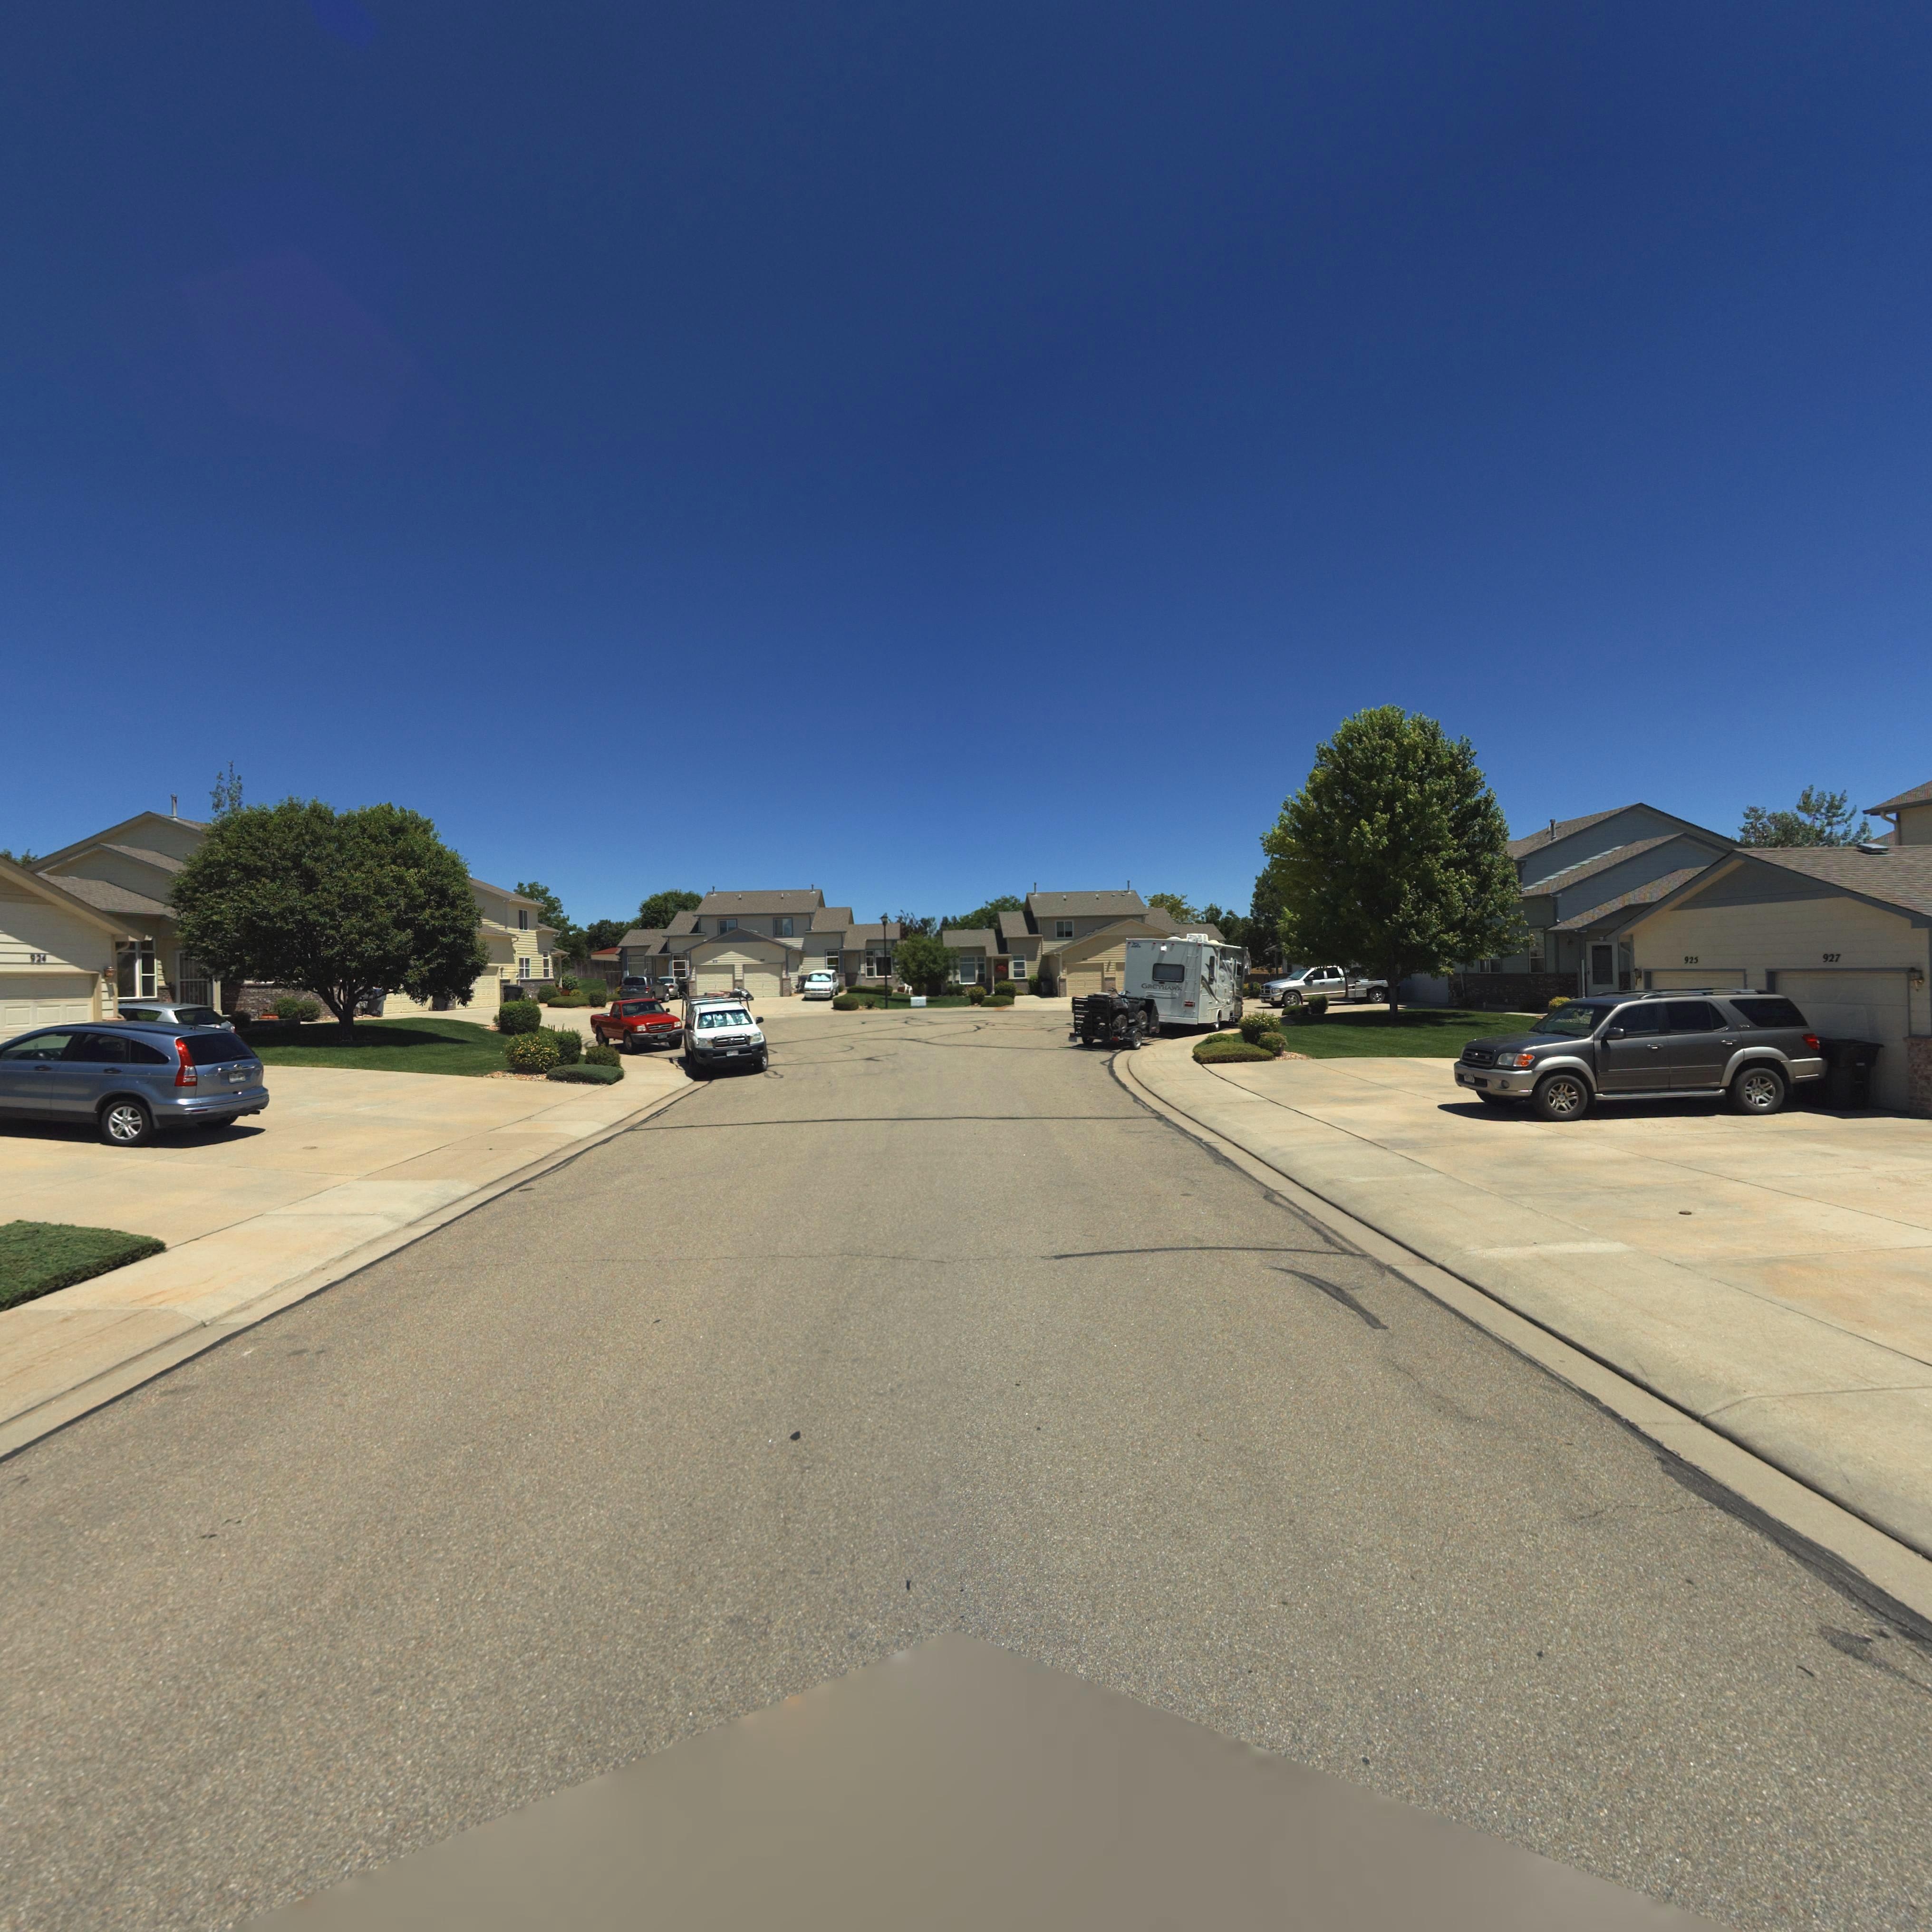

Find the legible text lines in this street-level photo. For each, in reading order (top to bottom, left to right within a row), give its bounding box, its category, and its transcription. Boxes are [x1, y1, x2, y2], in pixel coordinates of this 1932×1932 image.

[30, 953, 47, 962] StreetNumber: 92*
[1683, 956, 1699, 964] StreetNumber: 925
[1821, 953, 1842, 963] StreetNumber: 927